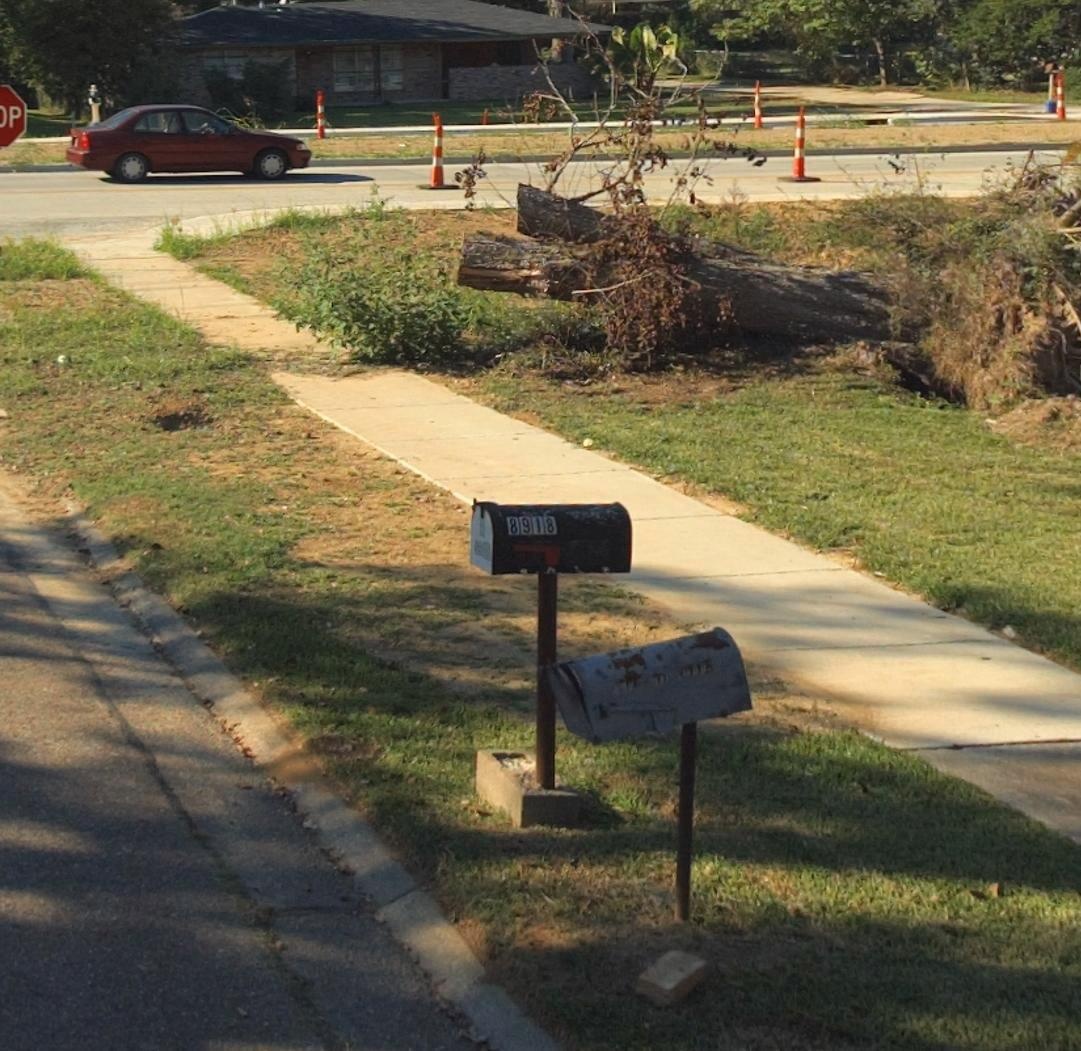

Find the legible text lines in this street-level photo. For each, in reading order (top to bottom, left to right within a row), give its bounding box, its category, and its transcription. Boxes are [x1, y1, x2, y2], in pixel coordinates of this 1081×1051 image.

[8, 104, 22, 129] None: P
[507, 516, 556, 535] StreetNumber: 8918